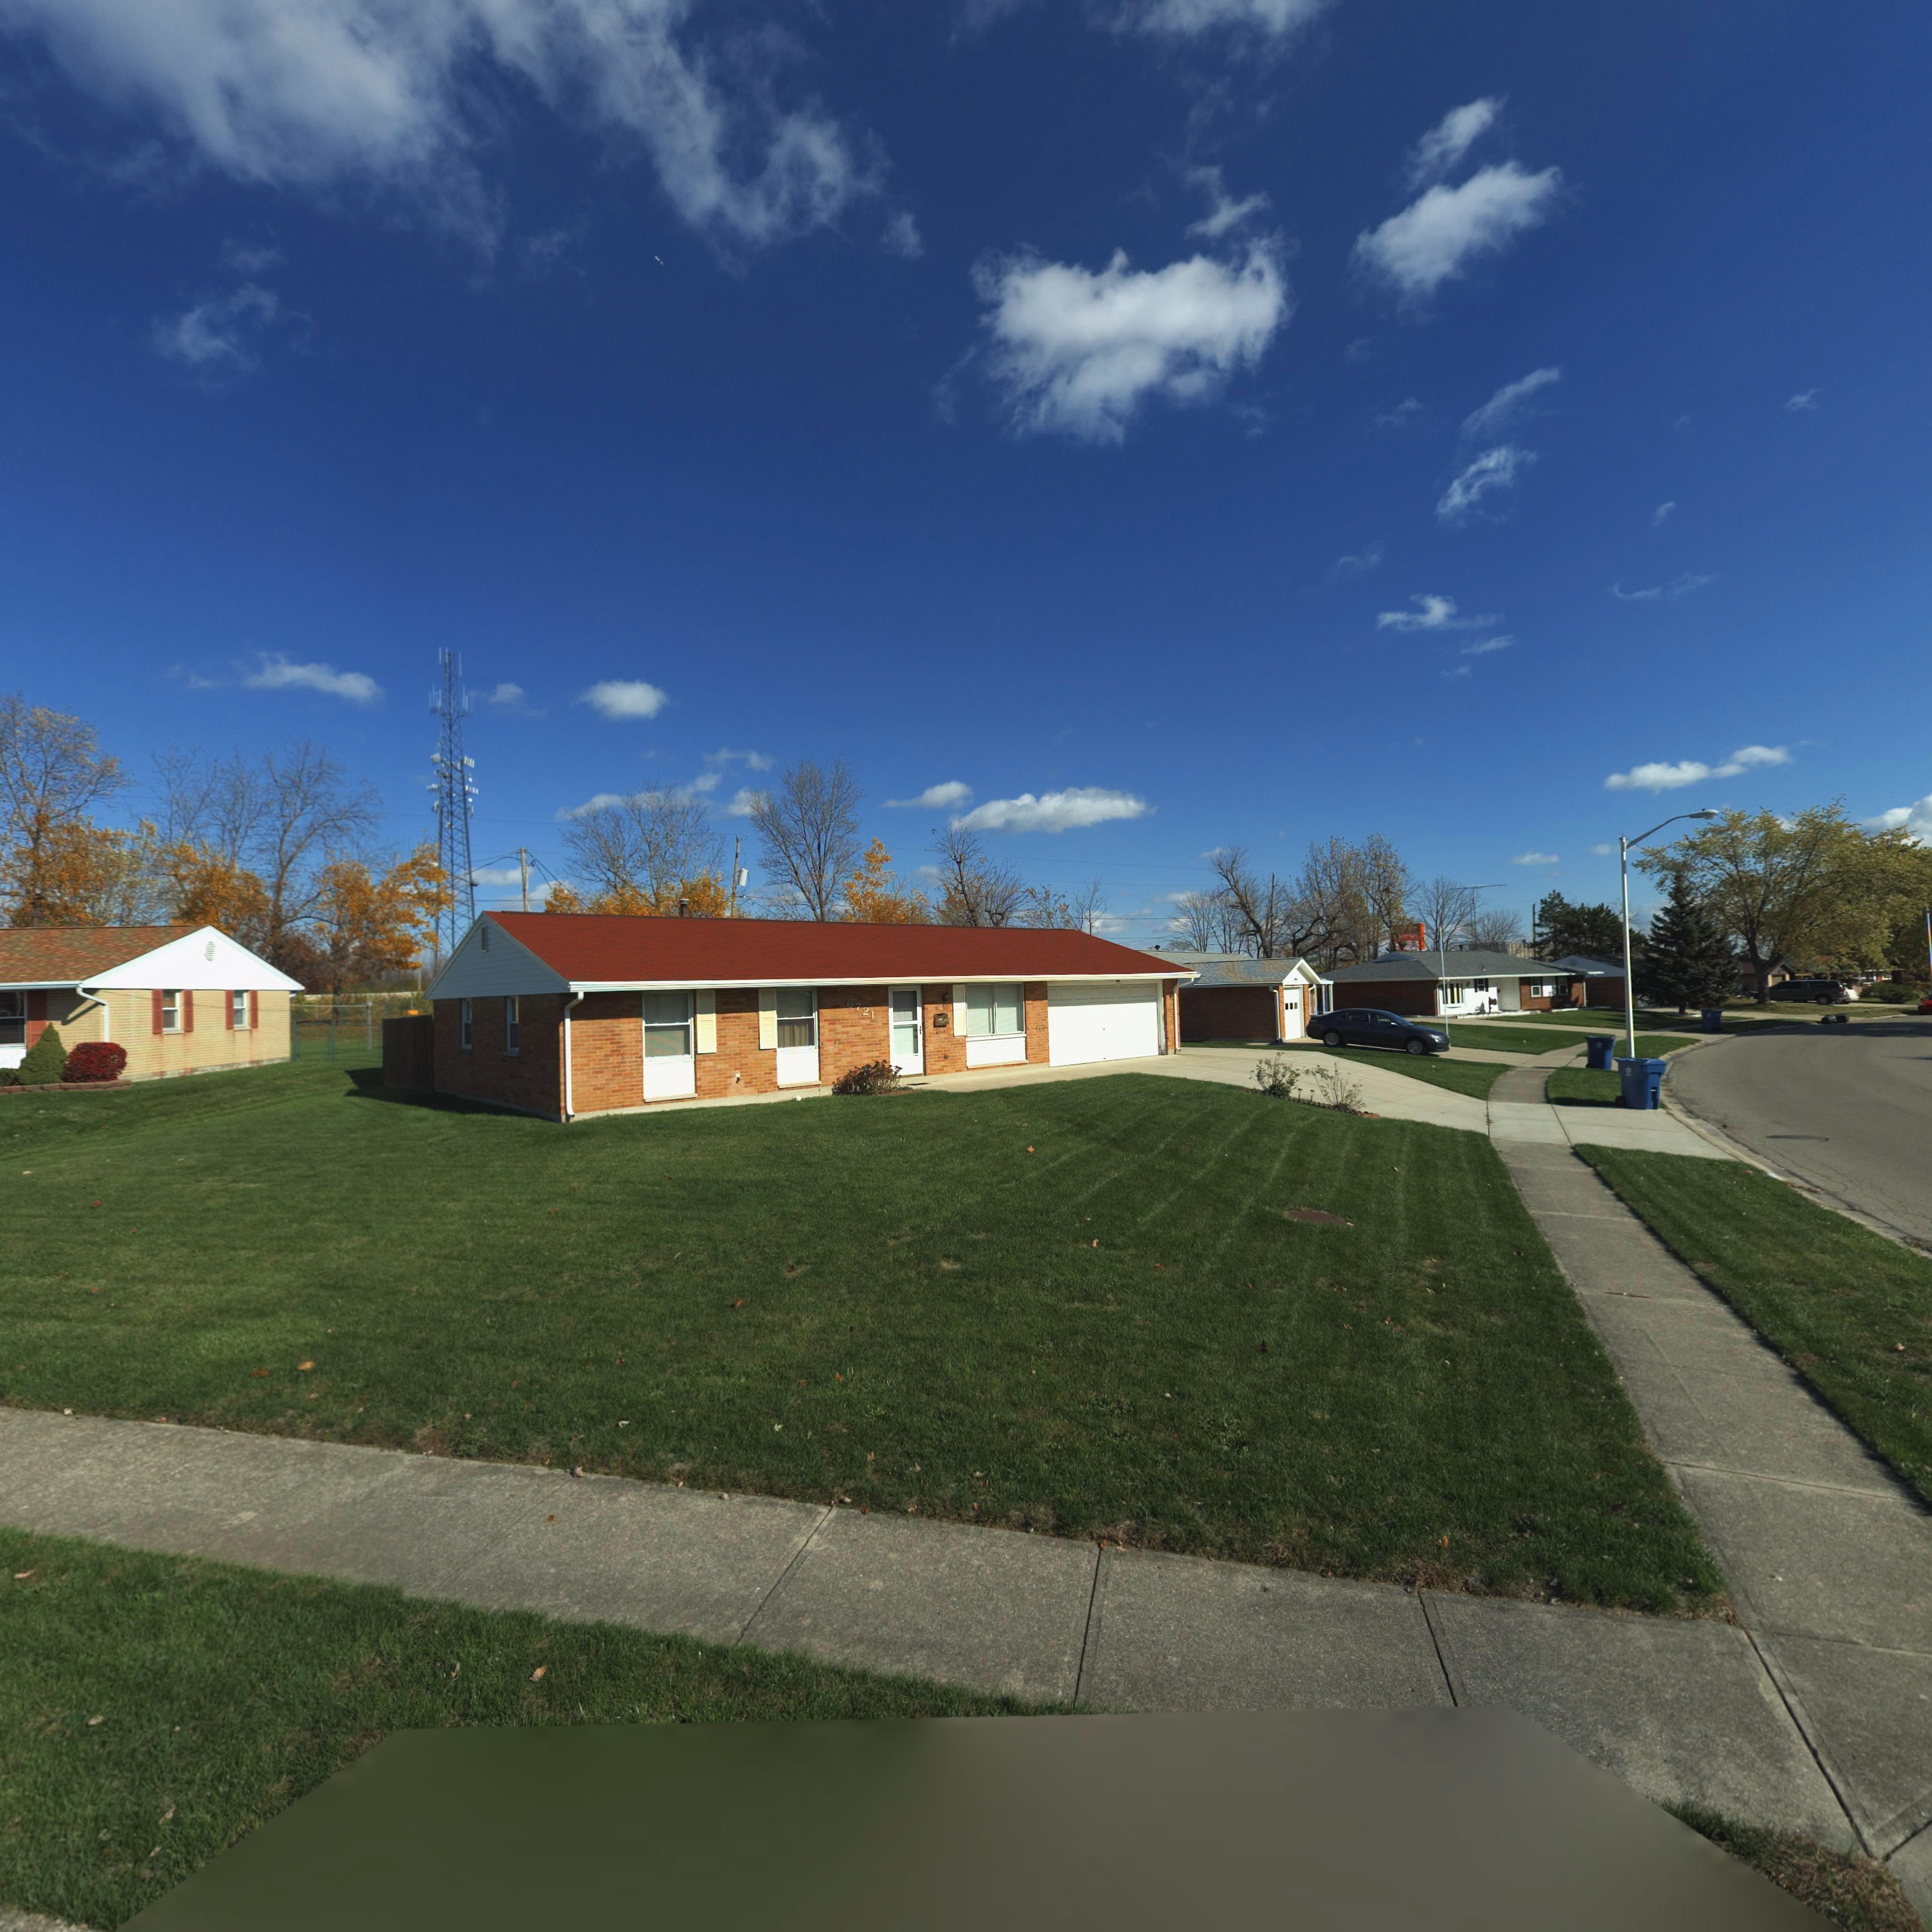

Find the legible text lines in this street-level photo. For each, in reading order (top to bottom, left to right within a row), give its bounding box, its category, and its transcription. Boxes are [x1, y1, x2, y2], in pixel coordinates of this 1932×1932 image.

[845, 998, 876, 1021] StreetNumber: 6721